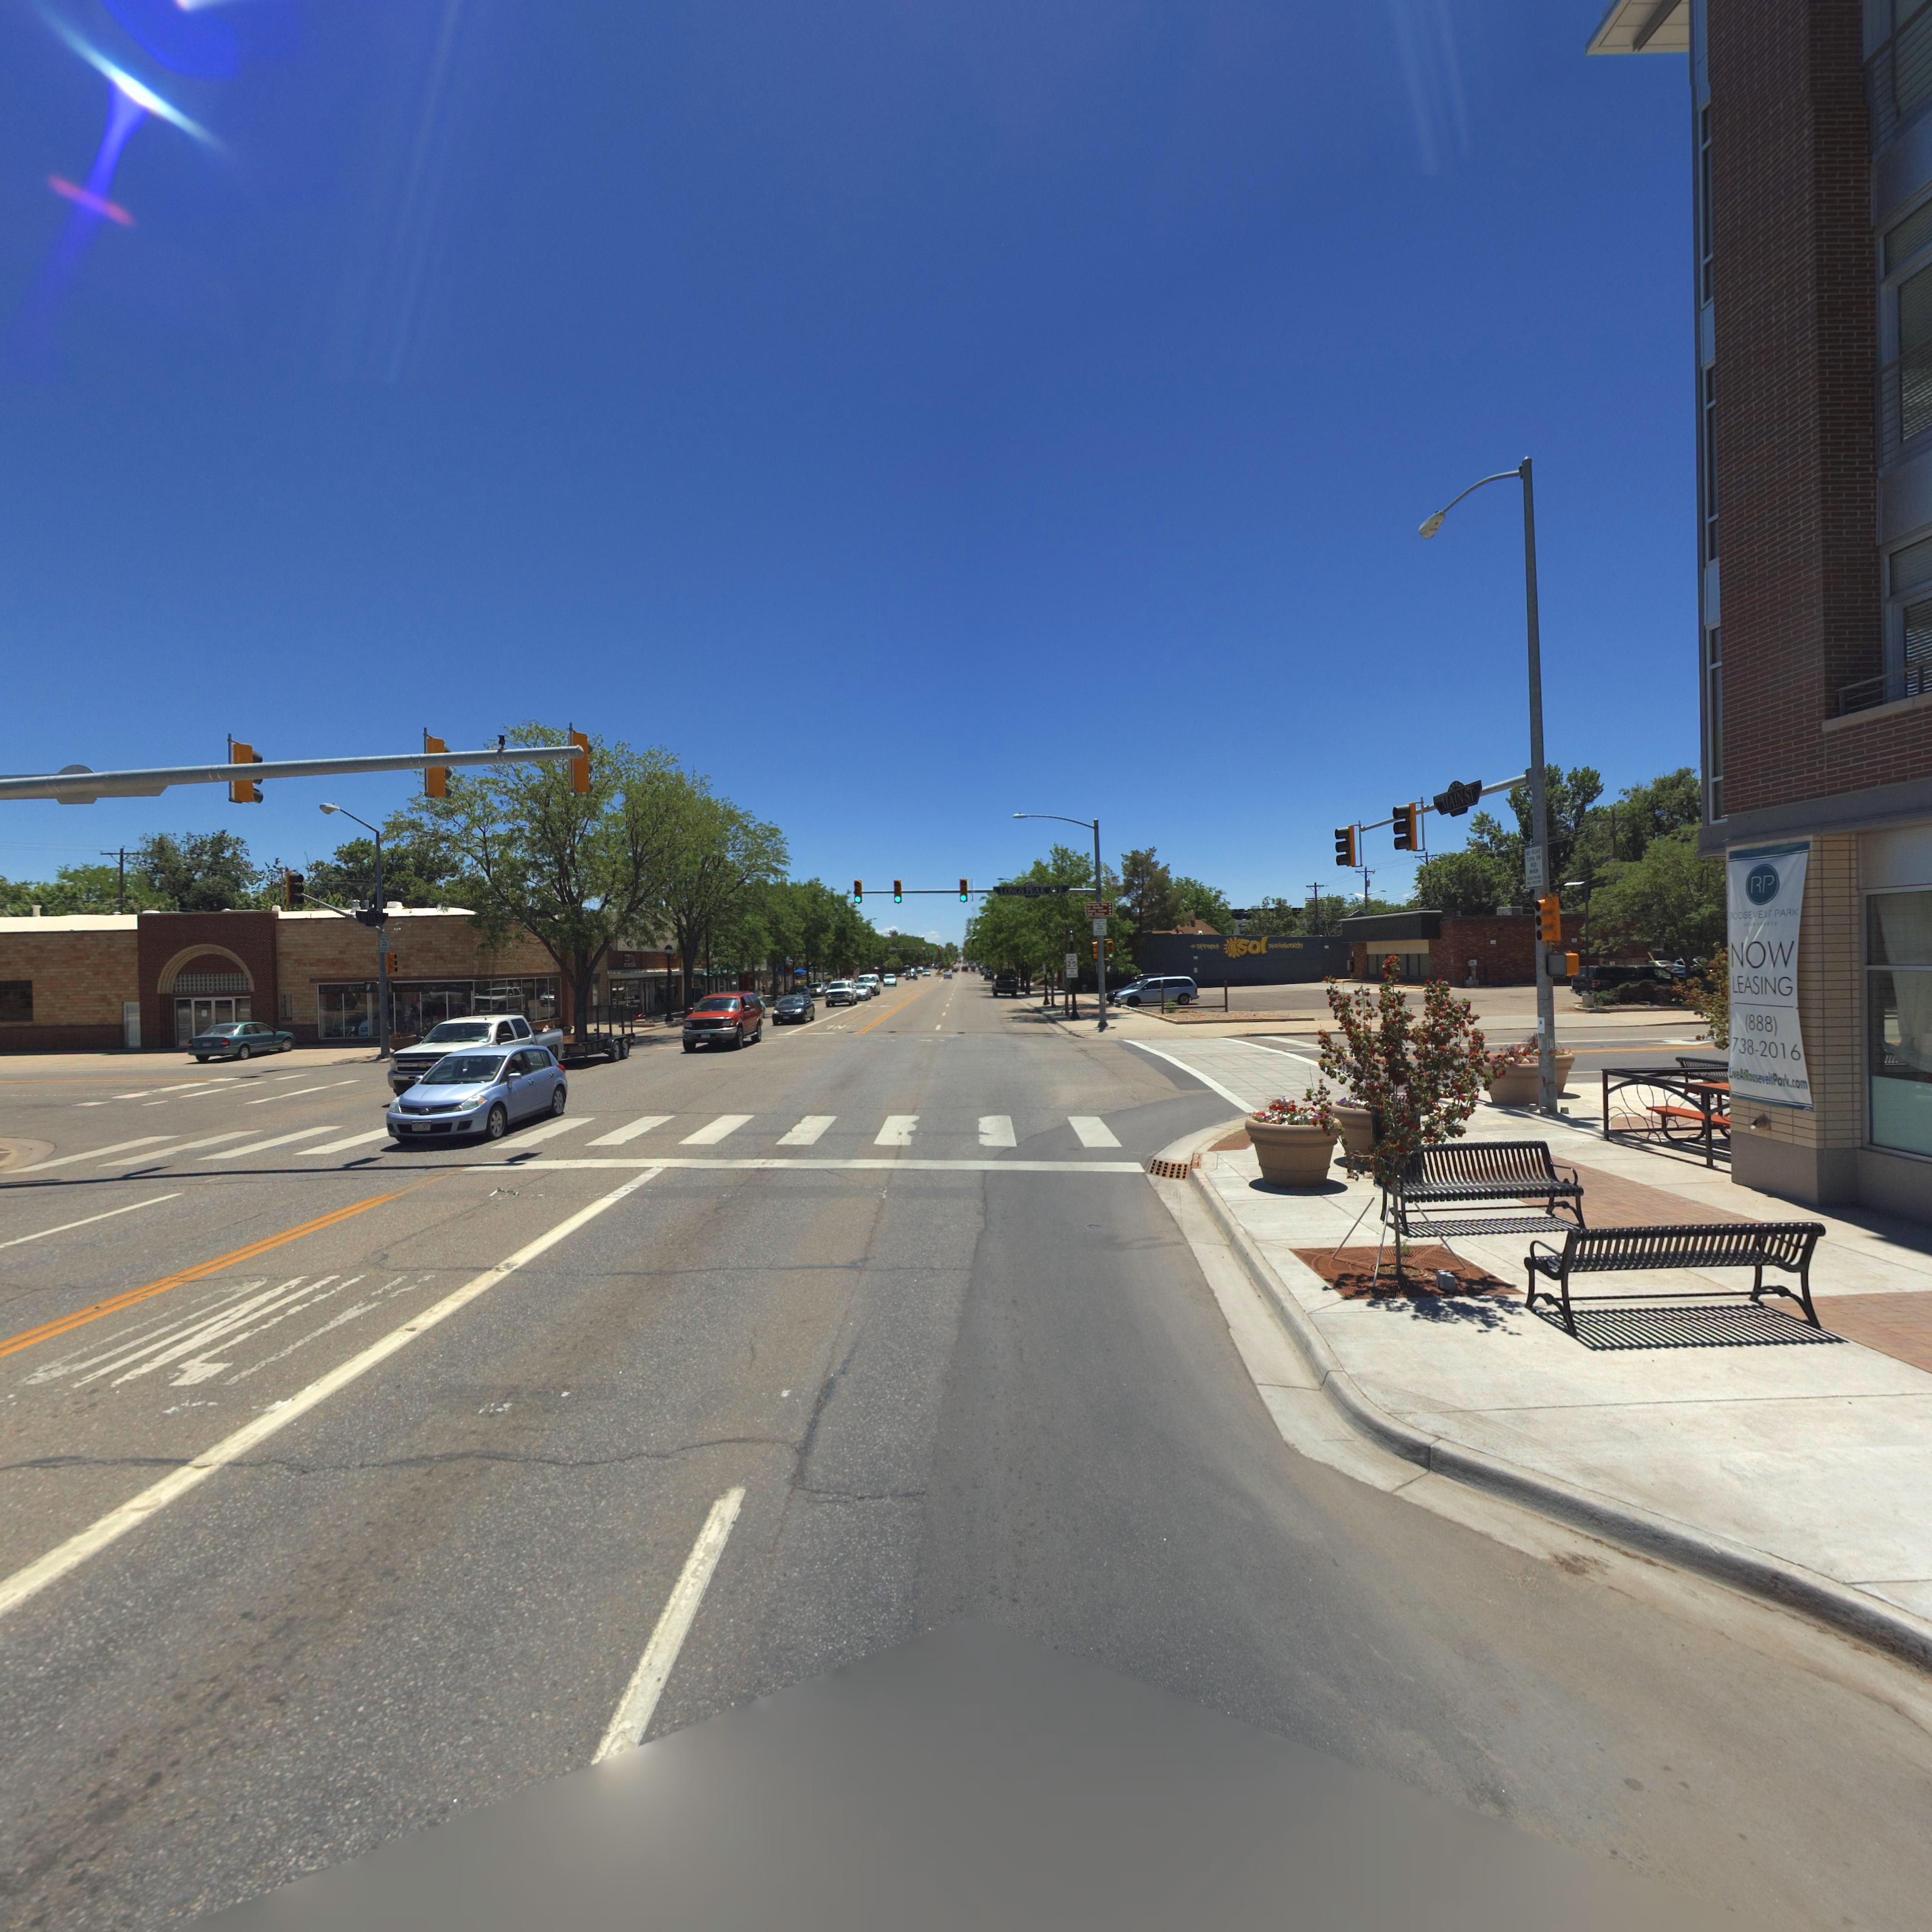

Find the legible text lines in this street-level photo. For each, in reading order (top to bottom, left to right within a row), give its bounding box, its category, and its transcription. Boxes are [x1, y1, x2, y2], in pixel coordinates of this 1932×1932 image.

[1440, 786, 1474, 811] StreetName: MAIN ST
[1000, 886, 1063, 895] StreetName: LONGS PEAK AVE
[360, 912, 384, 922] StreetName: MAINST